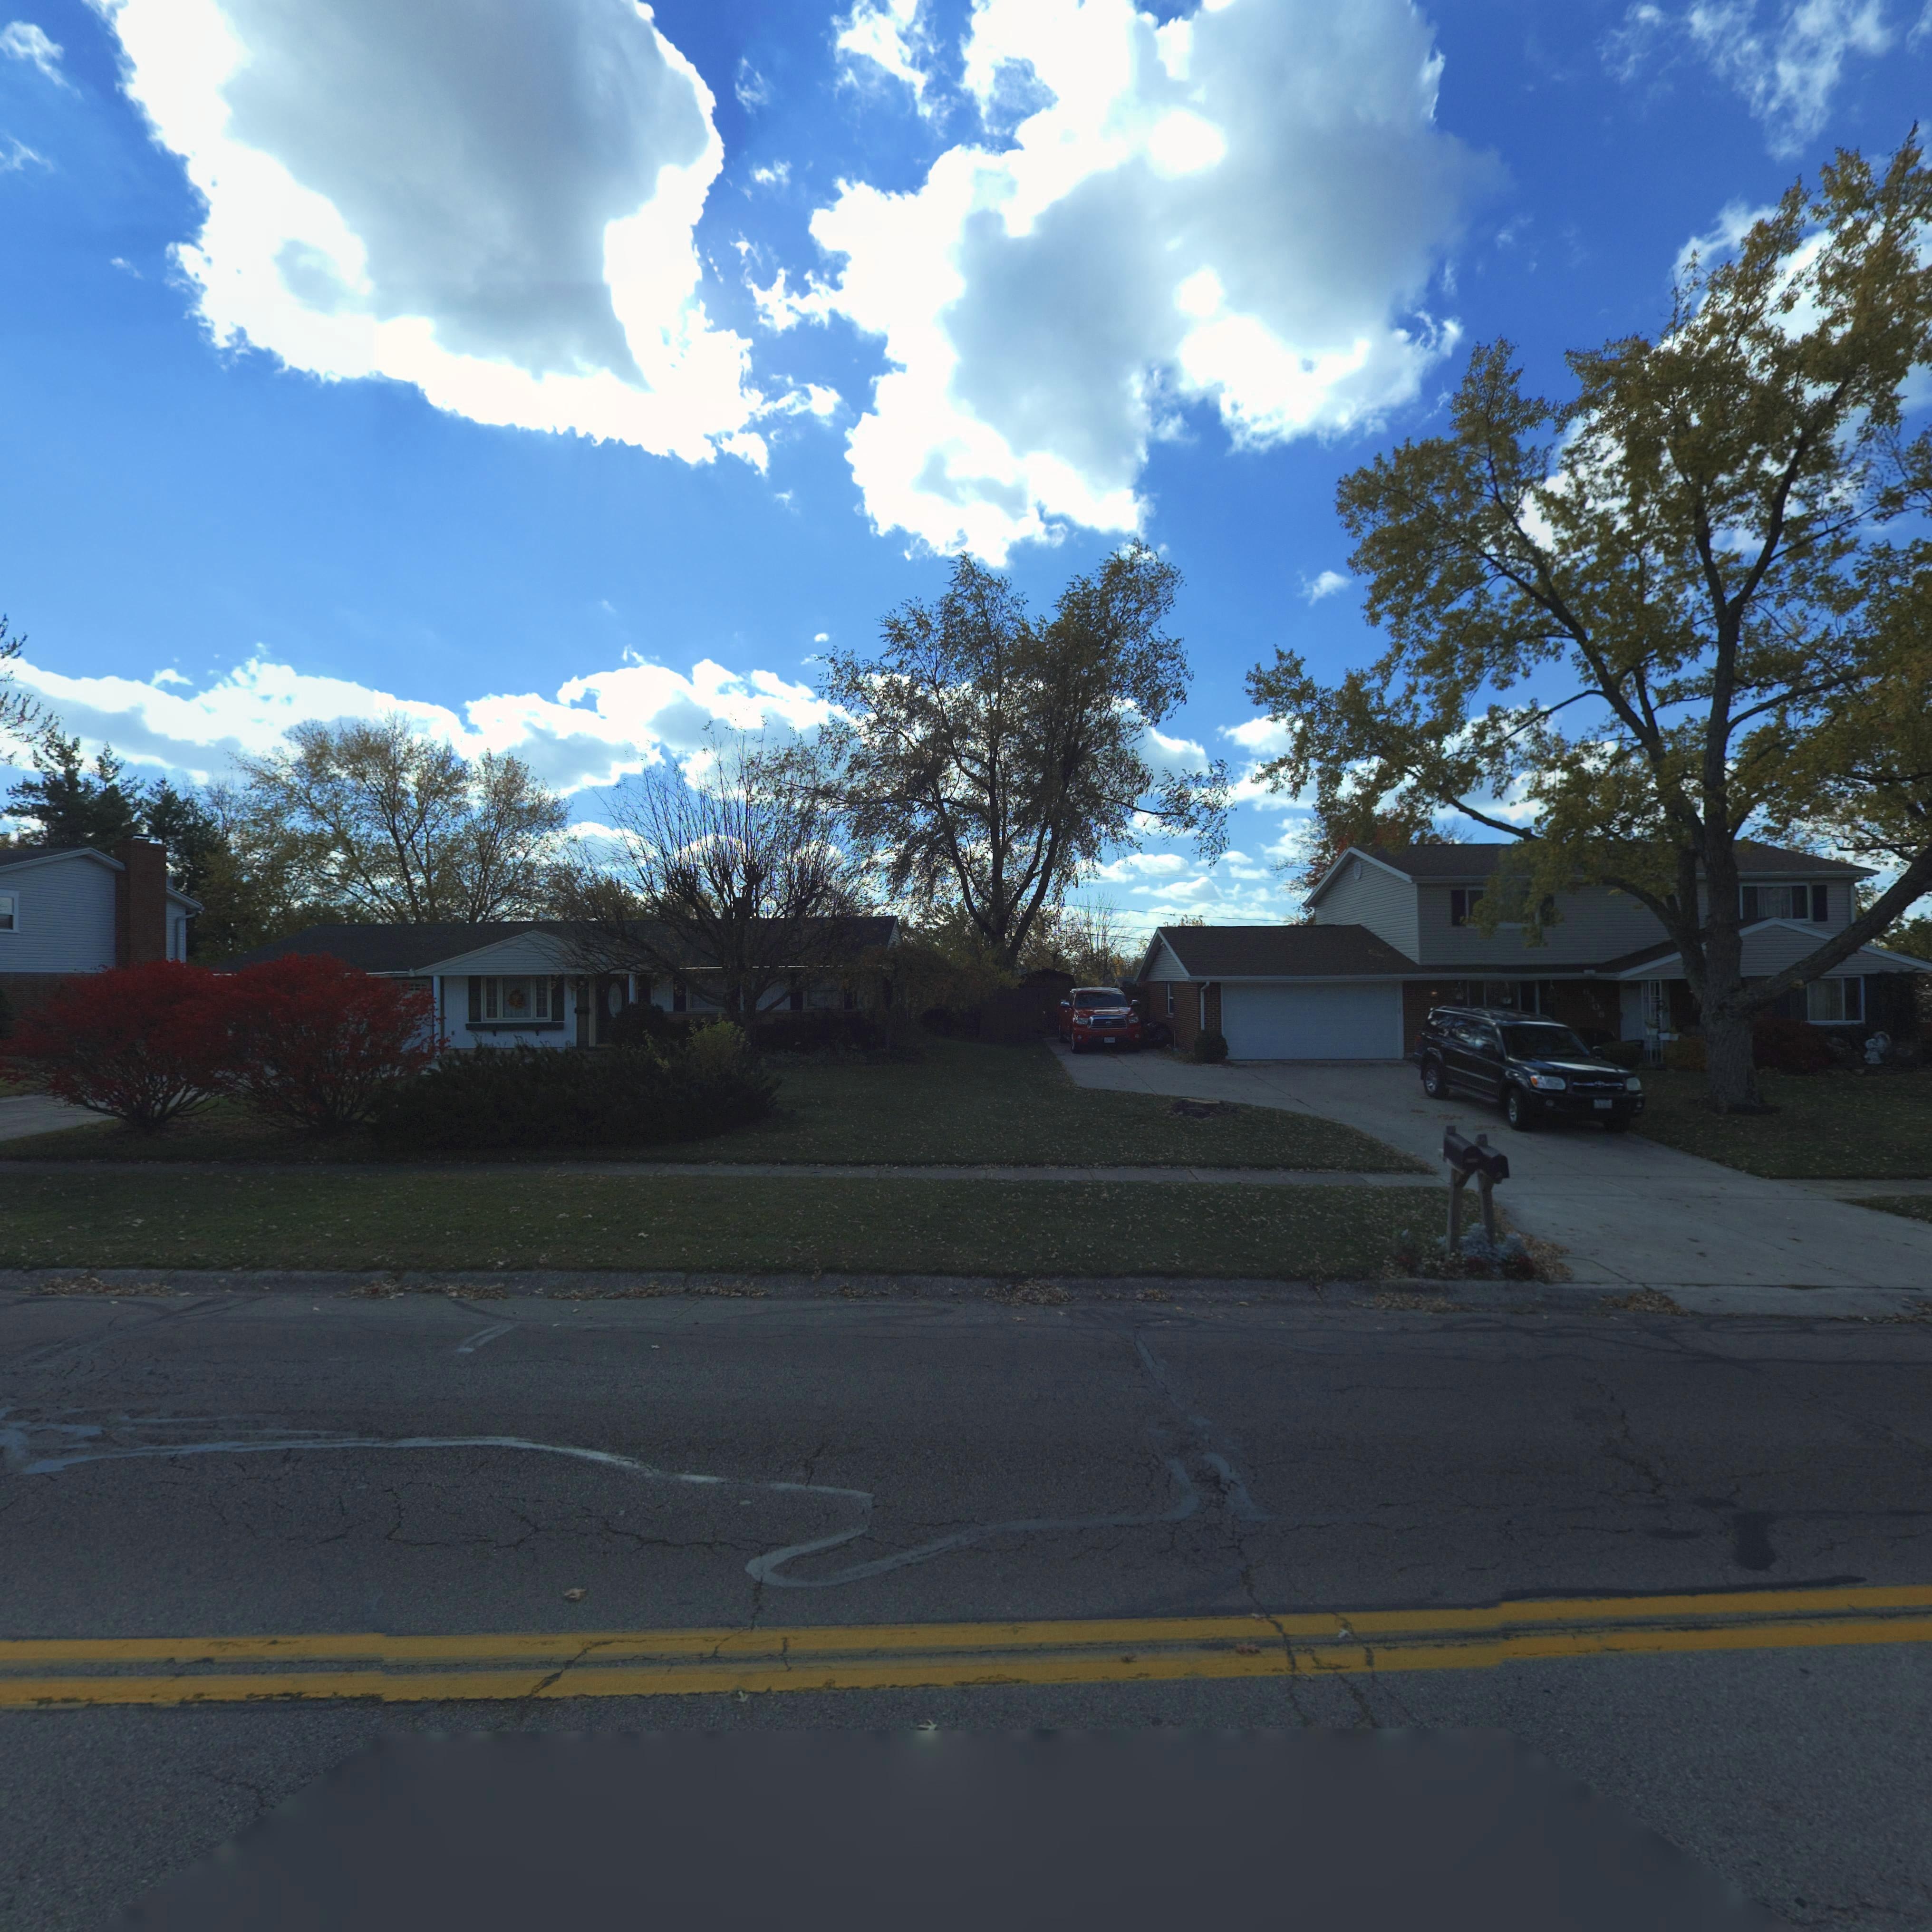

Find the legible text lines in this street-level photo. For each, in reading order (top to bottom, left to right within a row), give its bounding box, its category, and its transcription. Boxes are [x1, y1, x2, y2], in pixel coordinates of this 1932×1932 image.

[1582, 987, 1605, 1018] StreetNumber: 6308